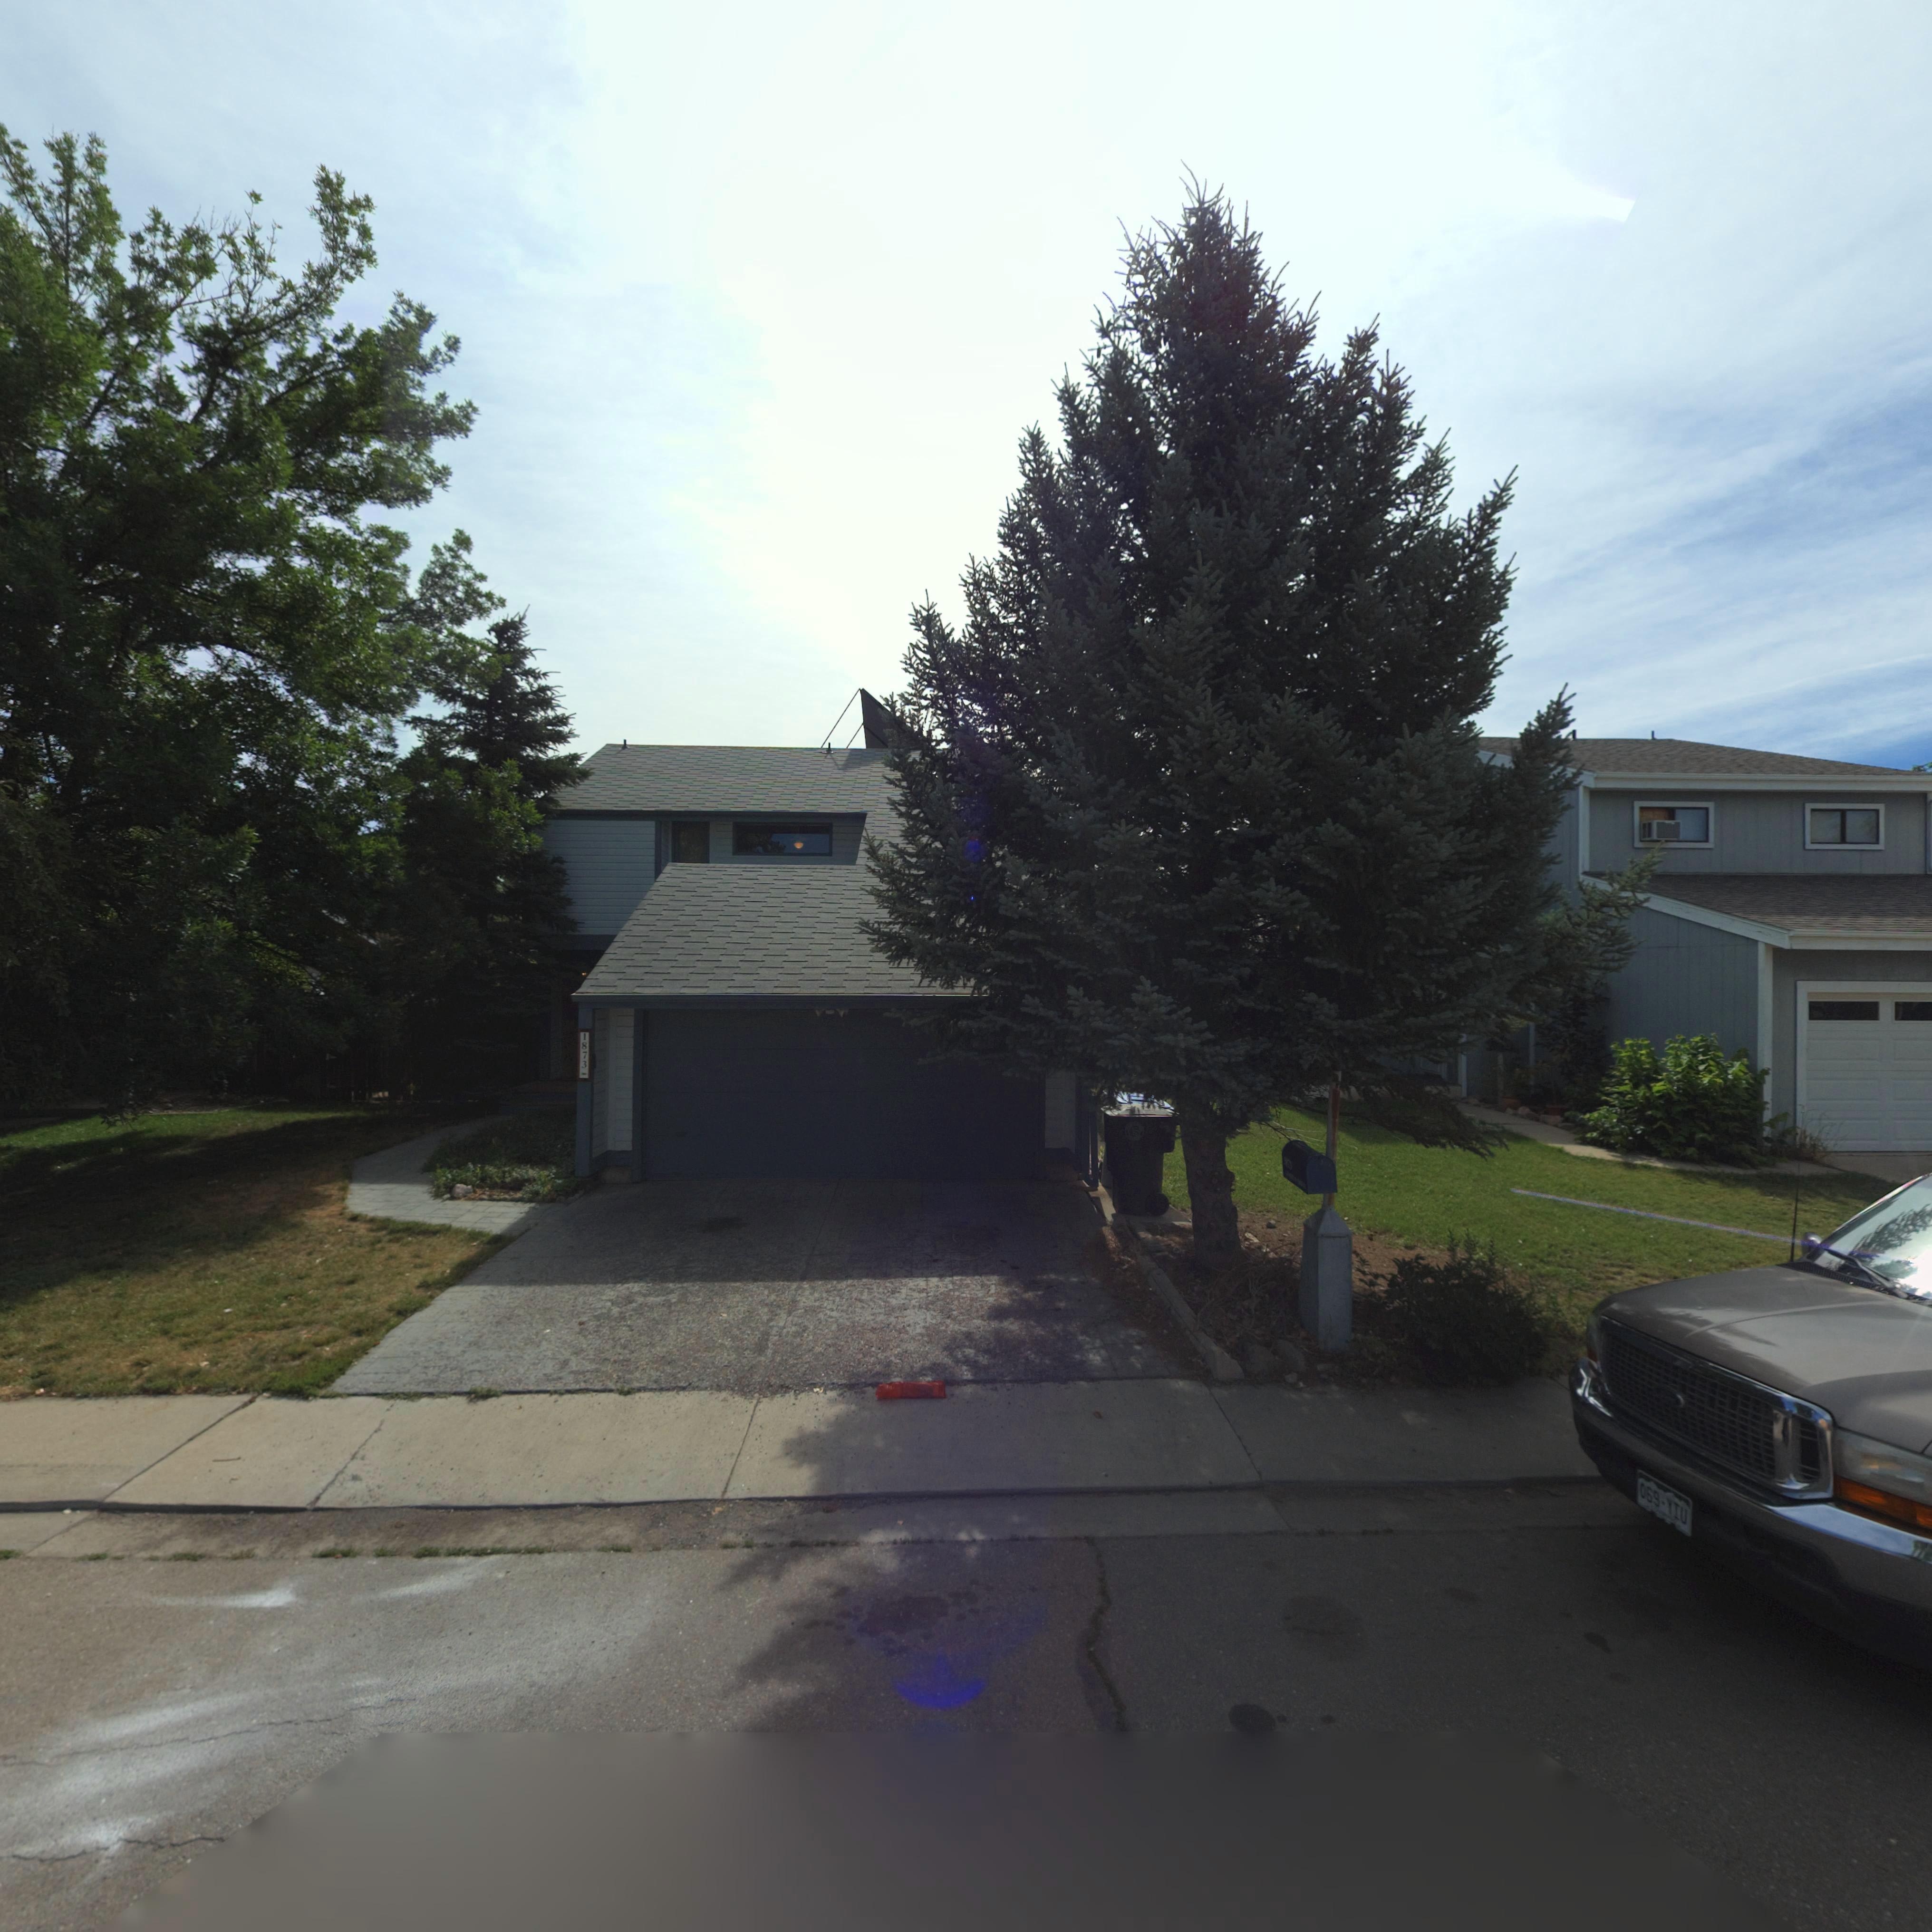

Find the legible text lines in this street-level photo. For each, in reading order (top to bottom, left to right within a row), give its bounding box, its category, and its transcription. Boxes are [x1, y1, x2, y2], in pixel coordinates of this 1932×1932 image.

[580, 1033, 588, 1069] StreetNumber: 1873